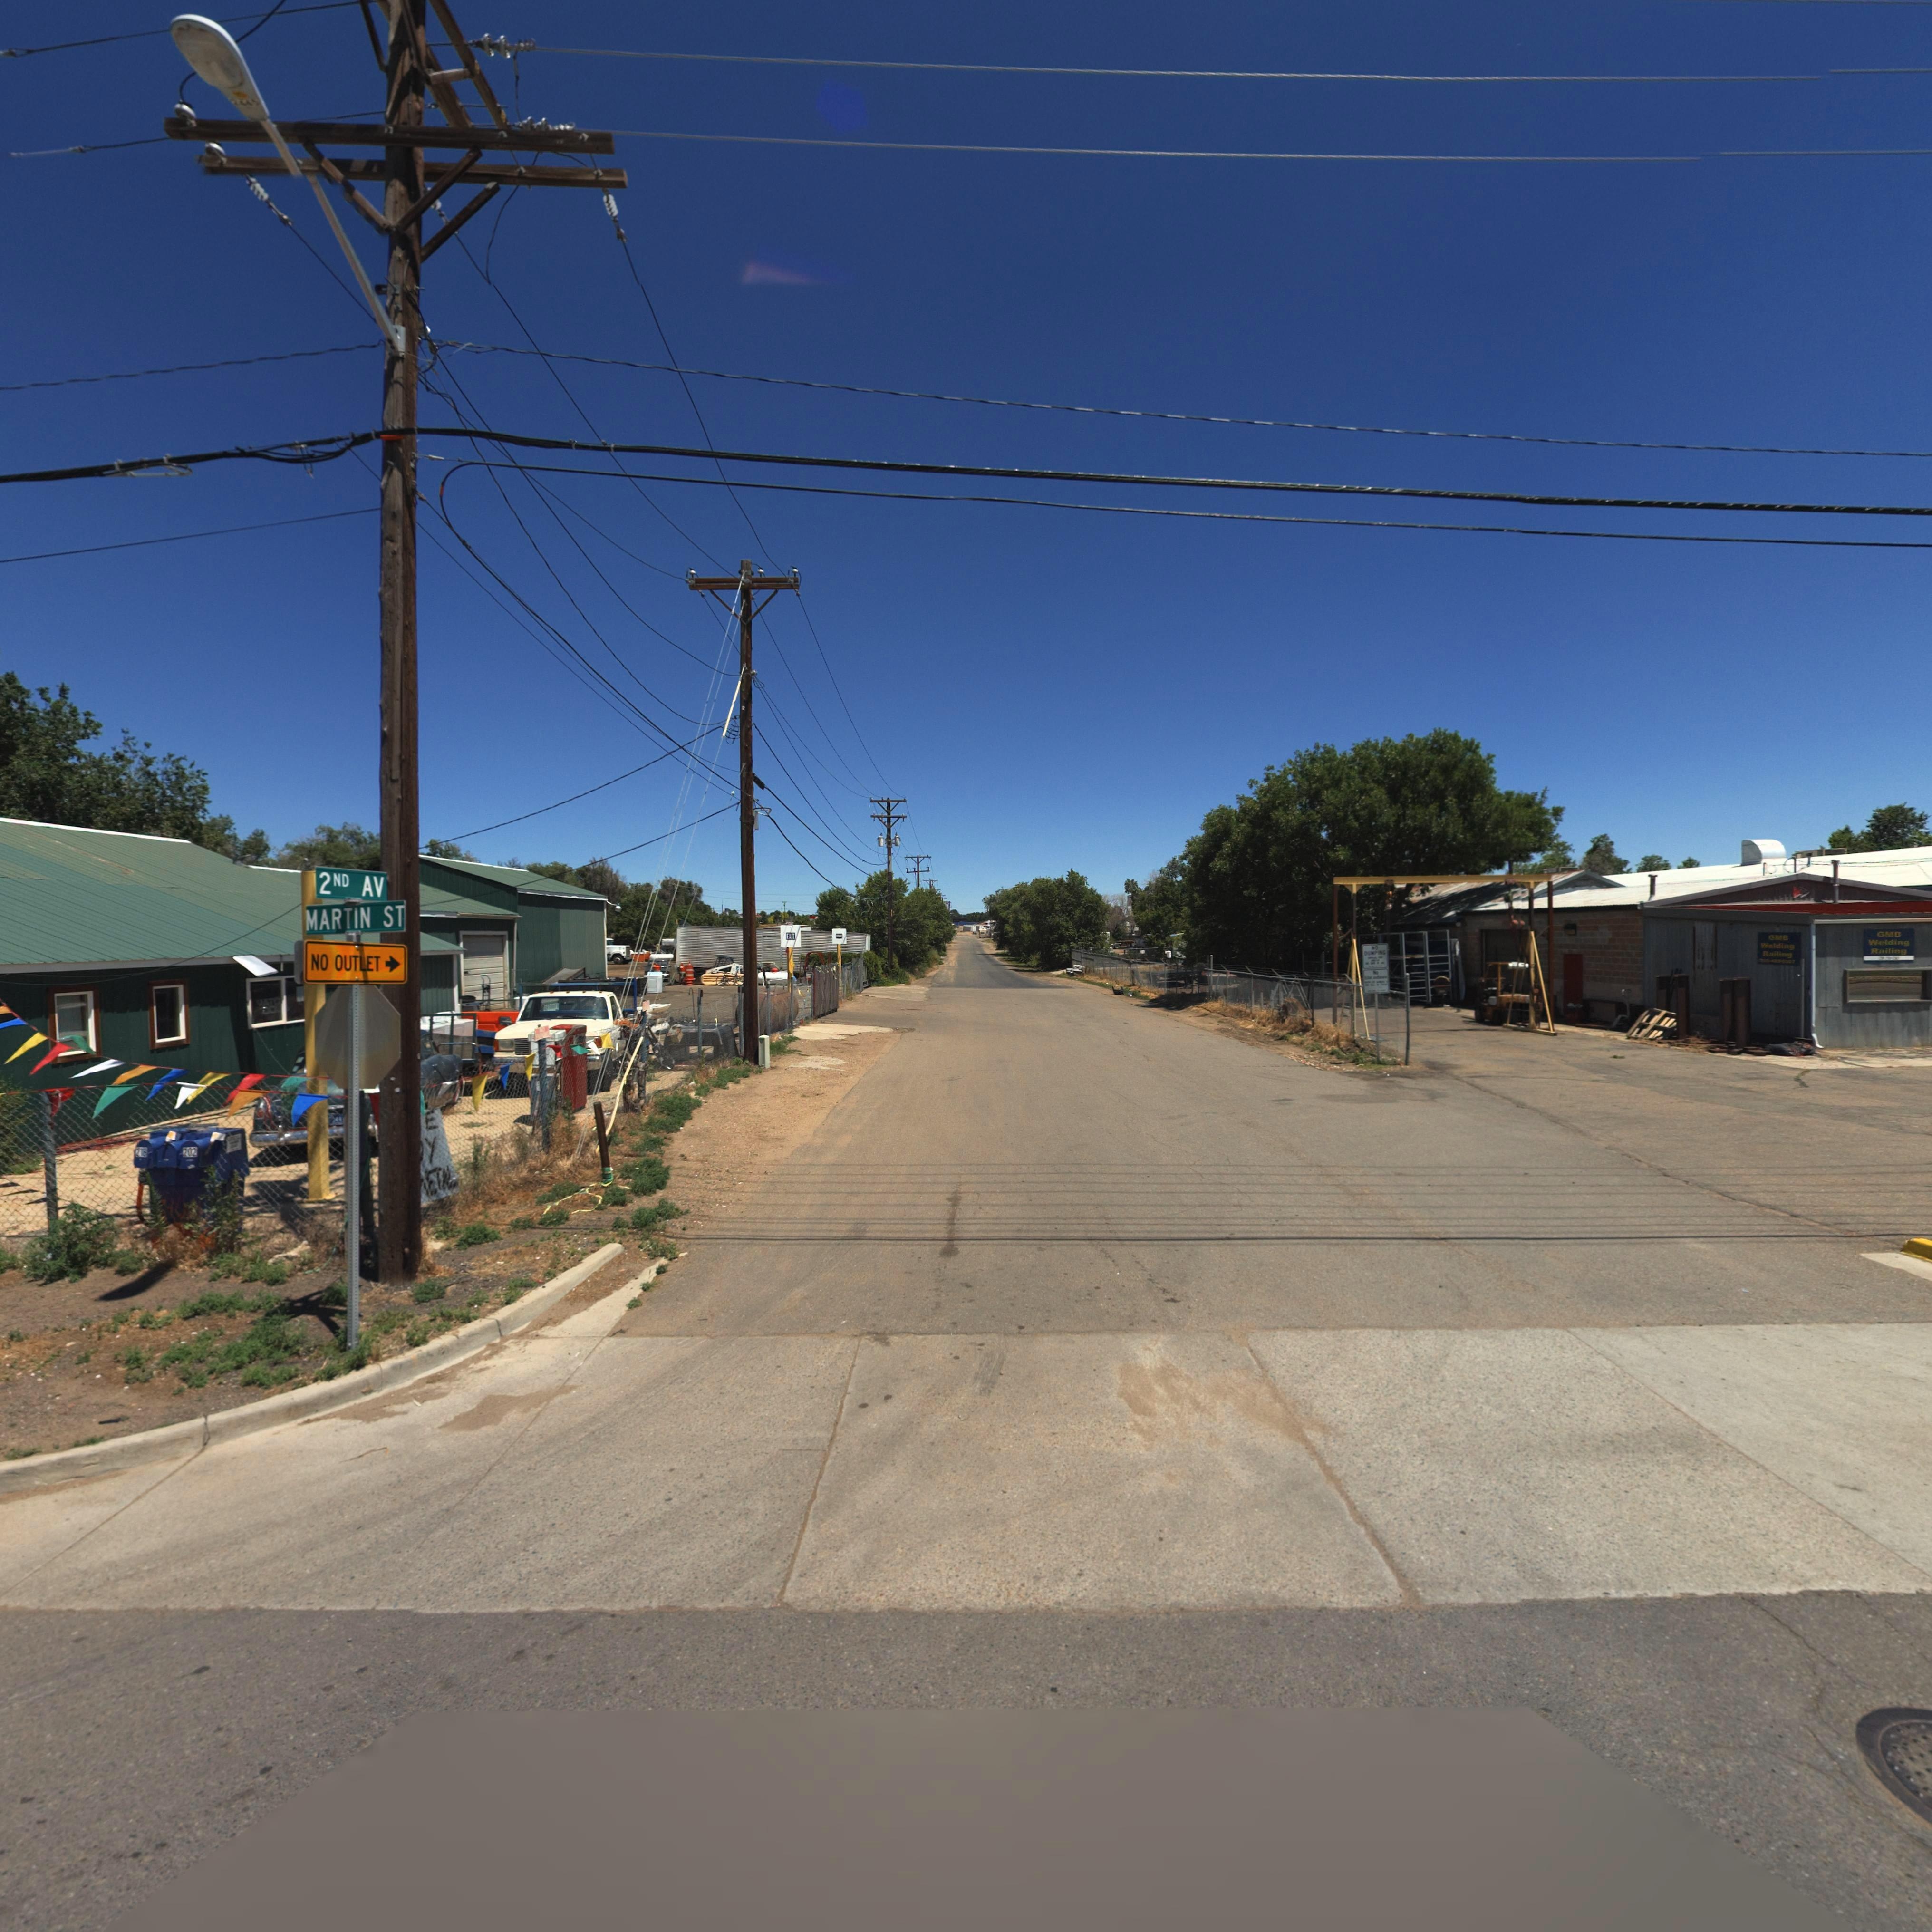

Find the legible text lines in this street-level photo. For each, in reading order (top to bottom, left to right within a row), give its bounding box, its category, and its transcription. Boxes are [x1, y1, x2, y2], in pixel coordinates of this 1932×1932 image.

[318, 870, 386, 898] StreetName: 2ND AV
[305, 904, 405, 932] StreetName: MARTIN ST
[1768, 934, 1788, 941] BusinessName: GMB
[1877, 931, 1902, 937] BusinessName: GMB
[1760, 942, 1795, 950] BusinessName: Welding
[1868, 938, 1910, 947] BusinessName: Welding
[1763, 950, 1792, 959] BusinessName: Railing
[1871, 947, 1907, 955] BusinessName: R*iling
[135, 1147, 147, 1157] StreetNumber: 218
[182, 1147, 197, 1157] StreetNumber: 202